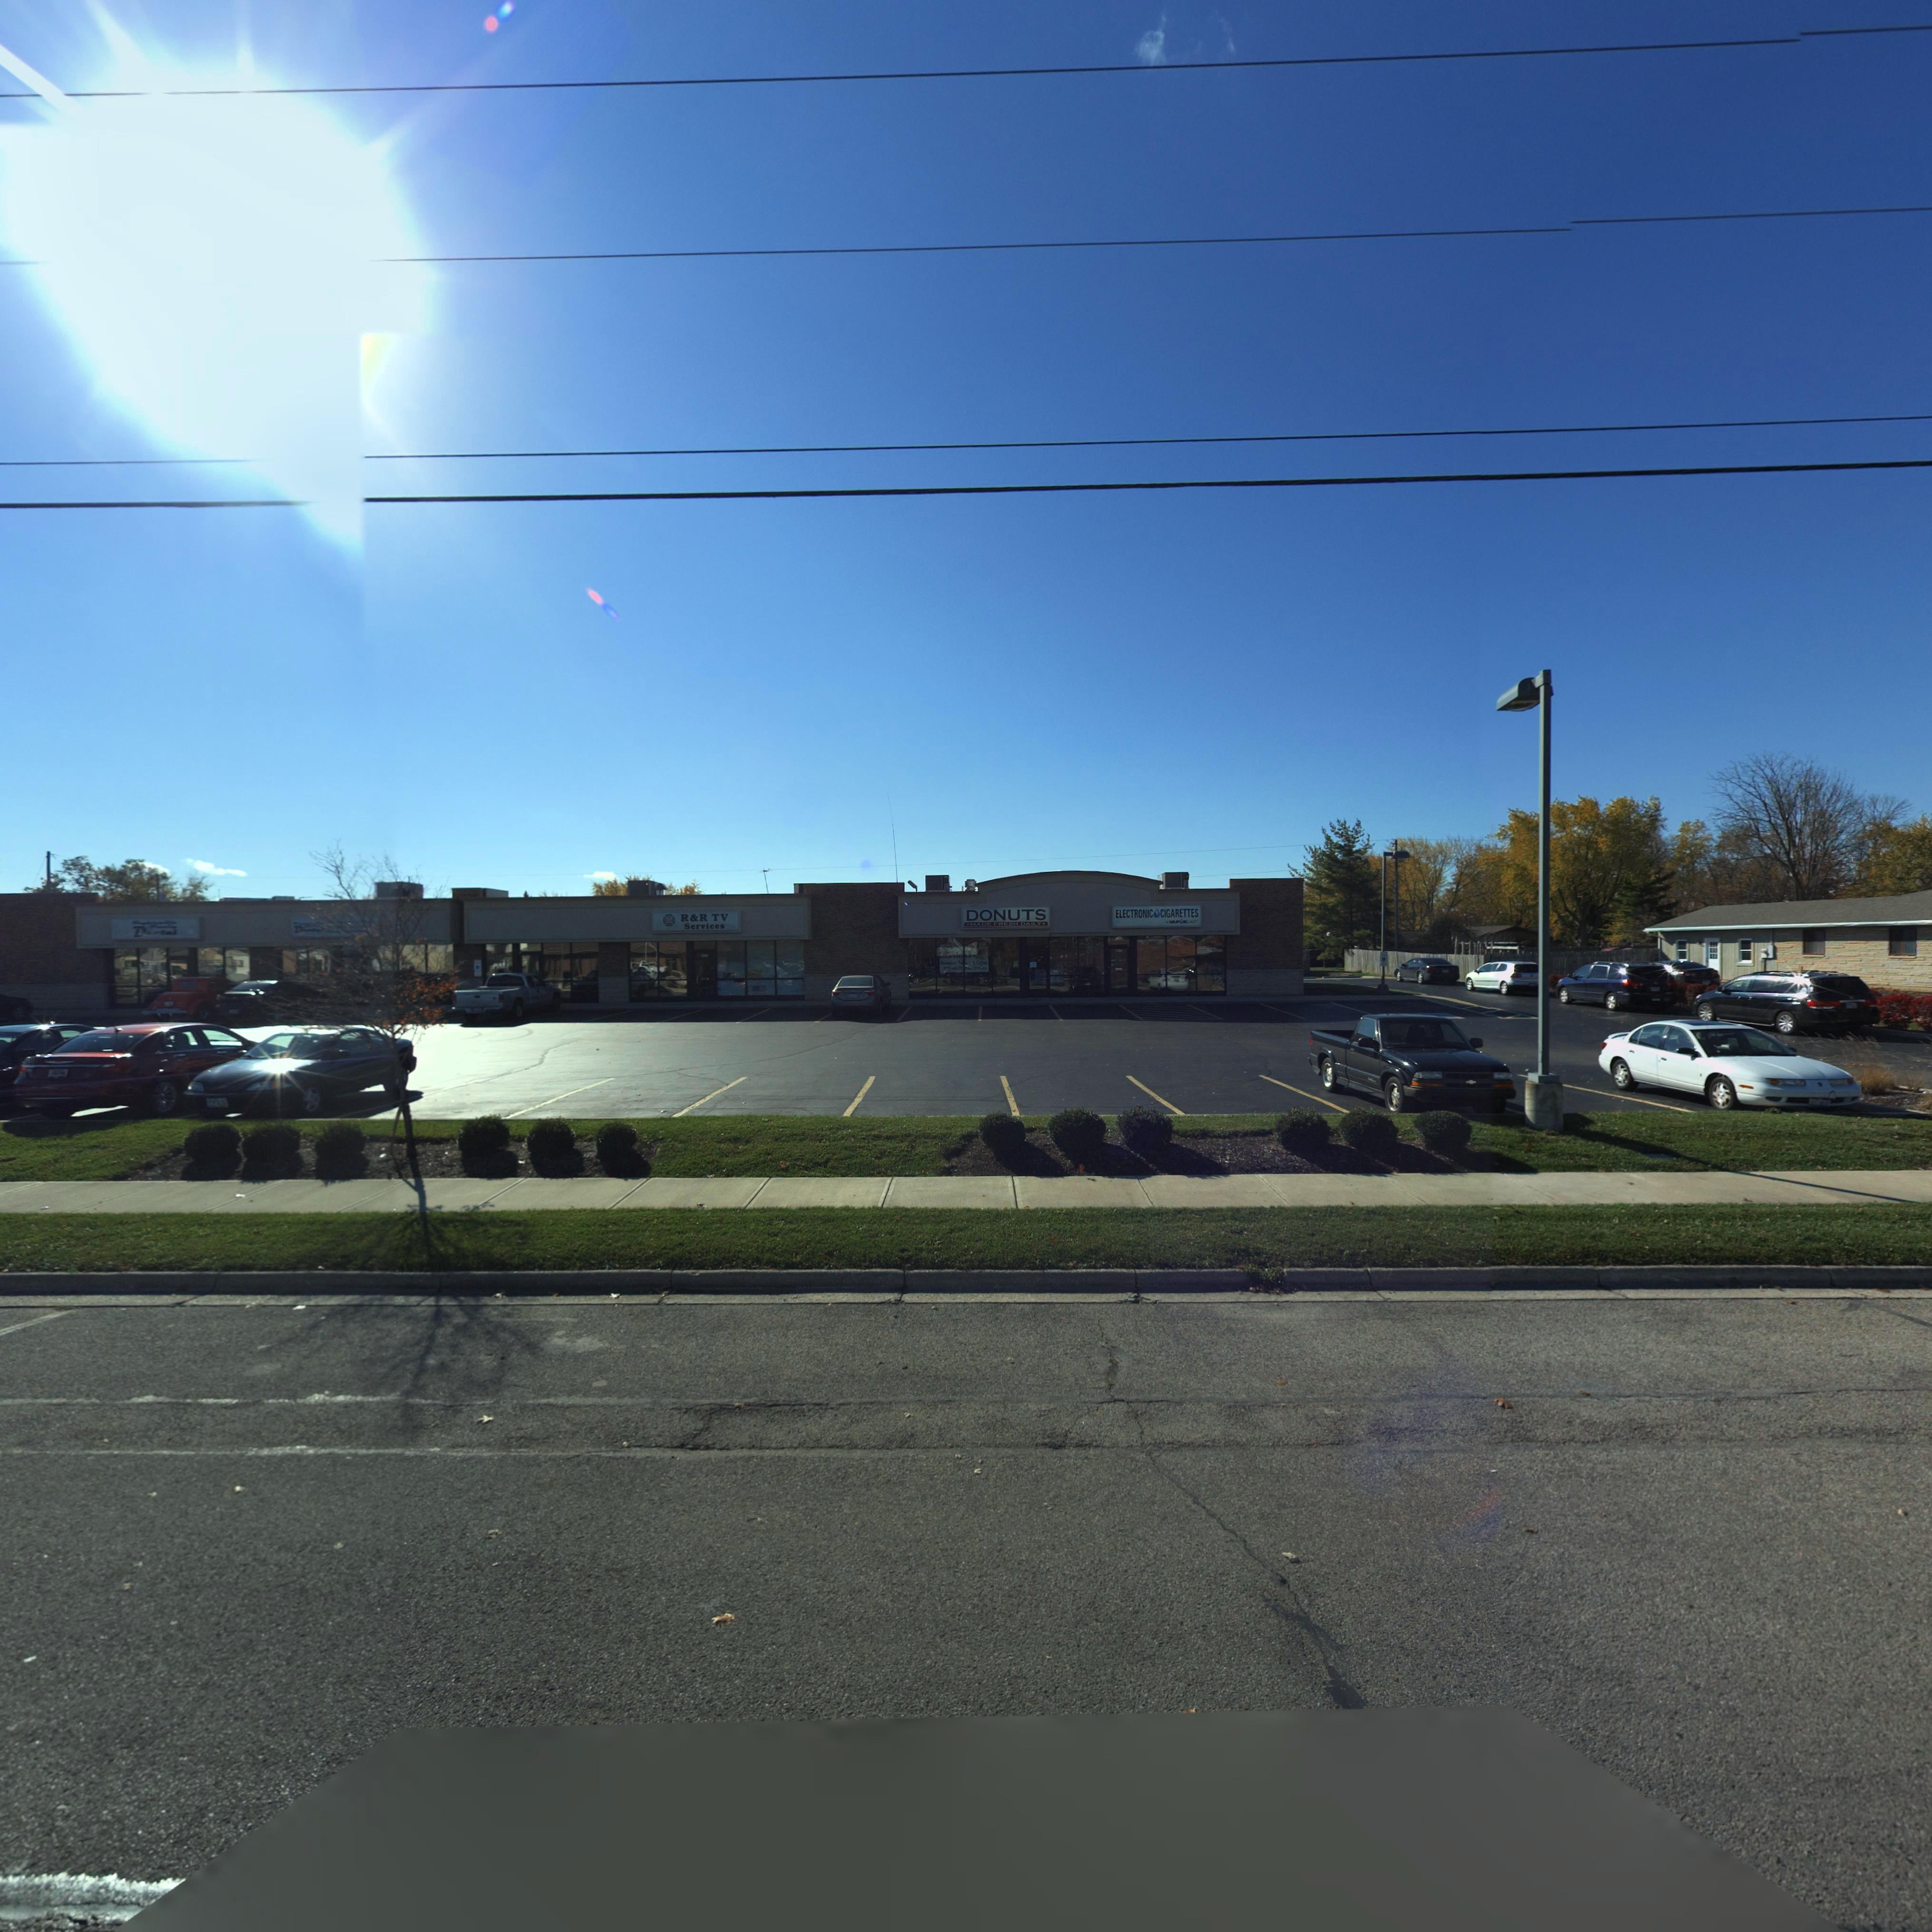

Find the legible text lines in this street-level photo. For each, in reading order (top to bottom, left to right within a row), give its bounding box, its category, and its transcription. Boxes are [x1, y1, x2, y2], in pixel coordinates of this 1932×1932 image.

[680, 913, 730, 922] BusinessName: R&R TV
[966, 908, 1047, 922] BusinessName: DONUTS
[1115, 908, 1199, 919] BusinessName: ELECTRONIC*CIGARETTES
[683, 922, 725, 930] BusinessName: Services
[1114, 948, 1123, 952] StreetNumber: 7100